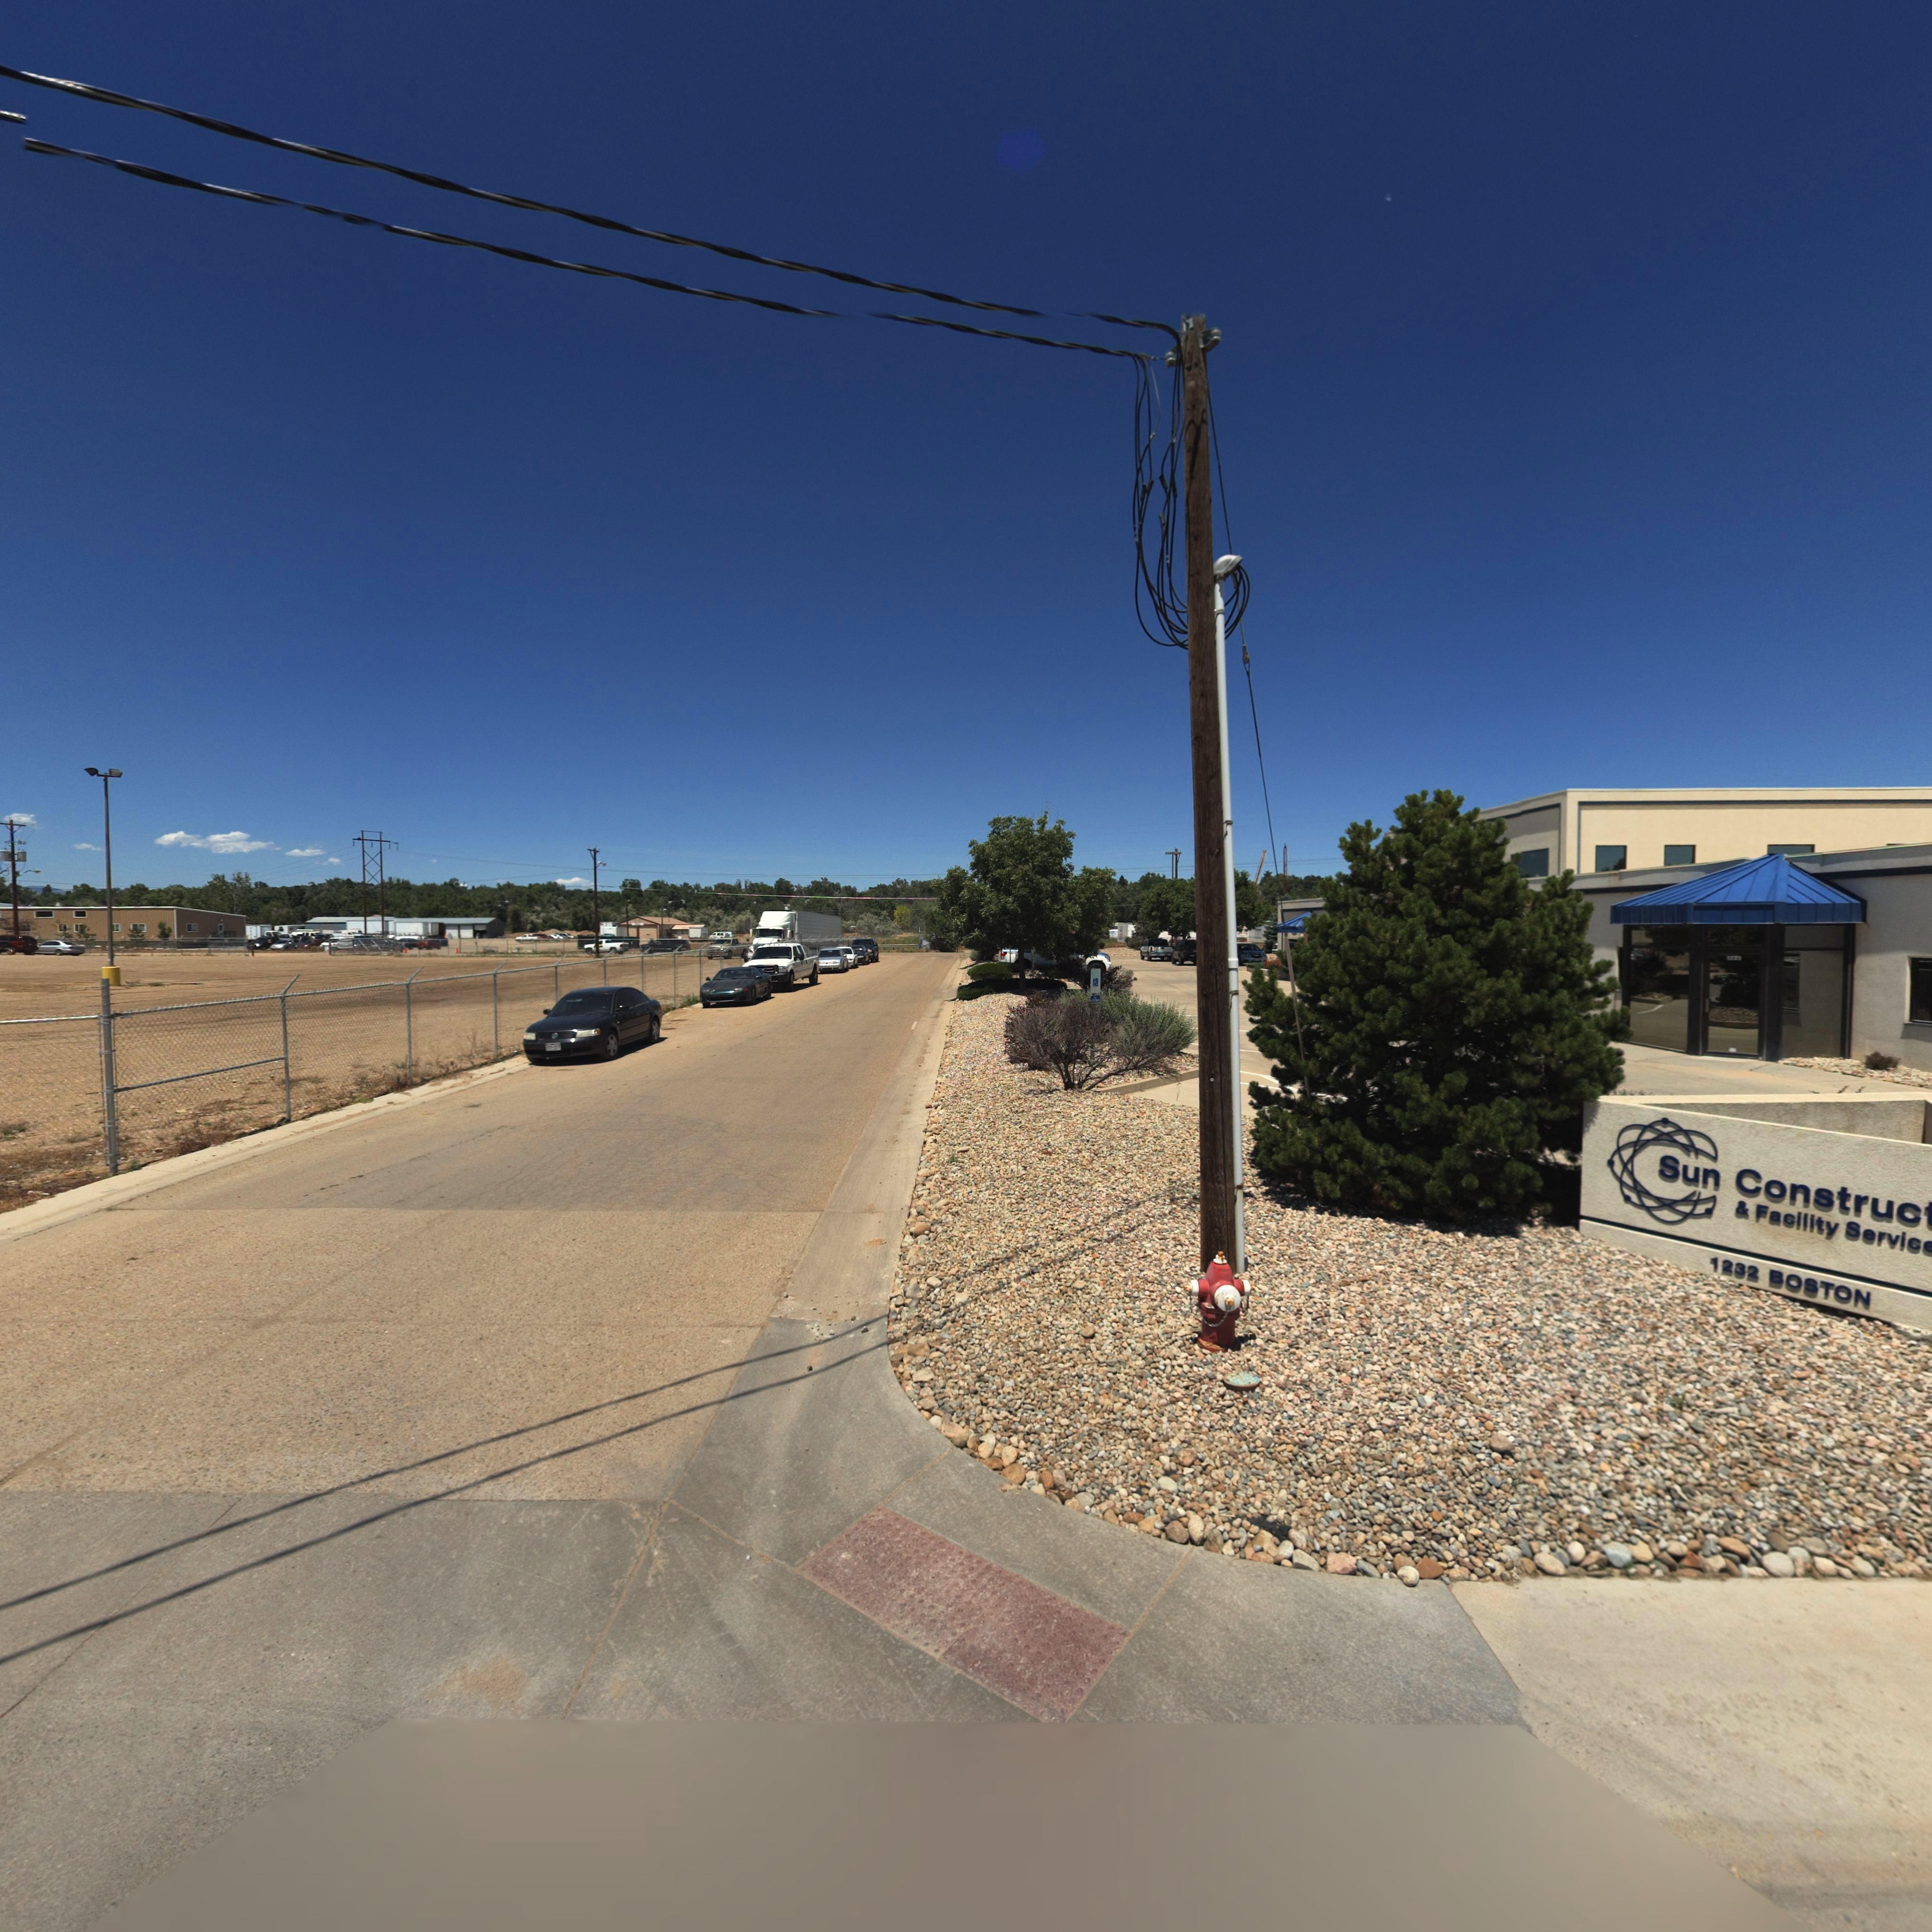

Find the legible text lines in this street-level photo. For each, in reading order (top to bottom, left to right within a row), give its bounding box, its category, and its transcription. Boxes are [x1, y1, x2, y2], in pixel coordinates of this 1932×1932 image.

[1727, 955, 1741, 961] StreetNumber: 1232
[1658, 1154, 1922, 1224] BusinessName: Sun Construc
[1735, 1199, 1922, 1250] BusinessName: & Facility Servic
[1710, 1257, 1759, 1279] StreetNumber: 1232
[1768, 1268, 1871, 1306] StreetName: BOSTON